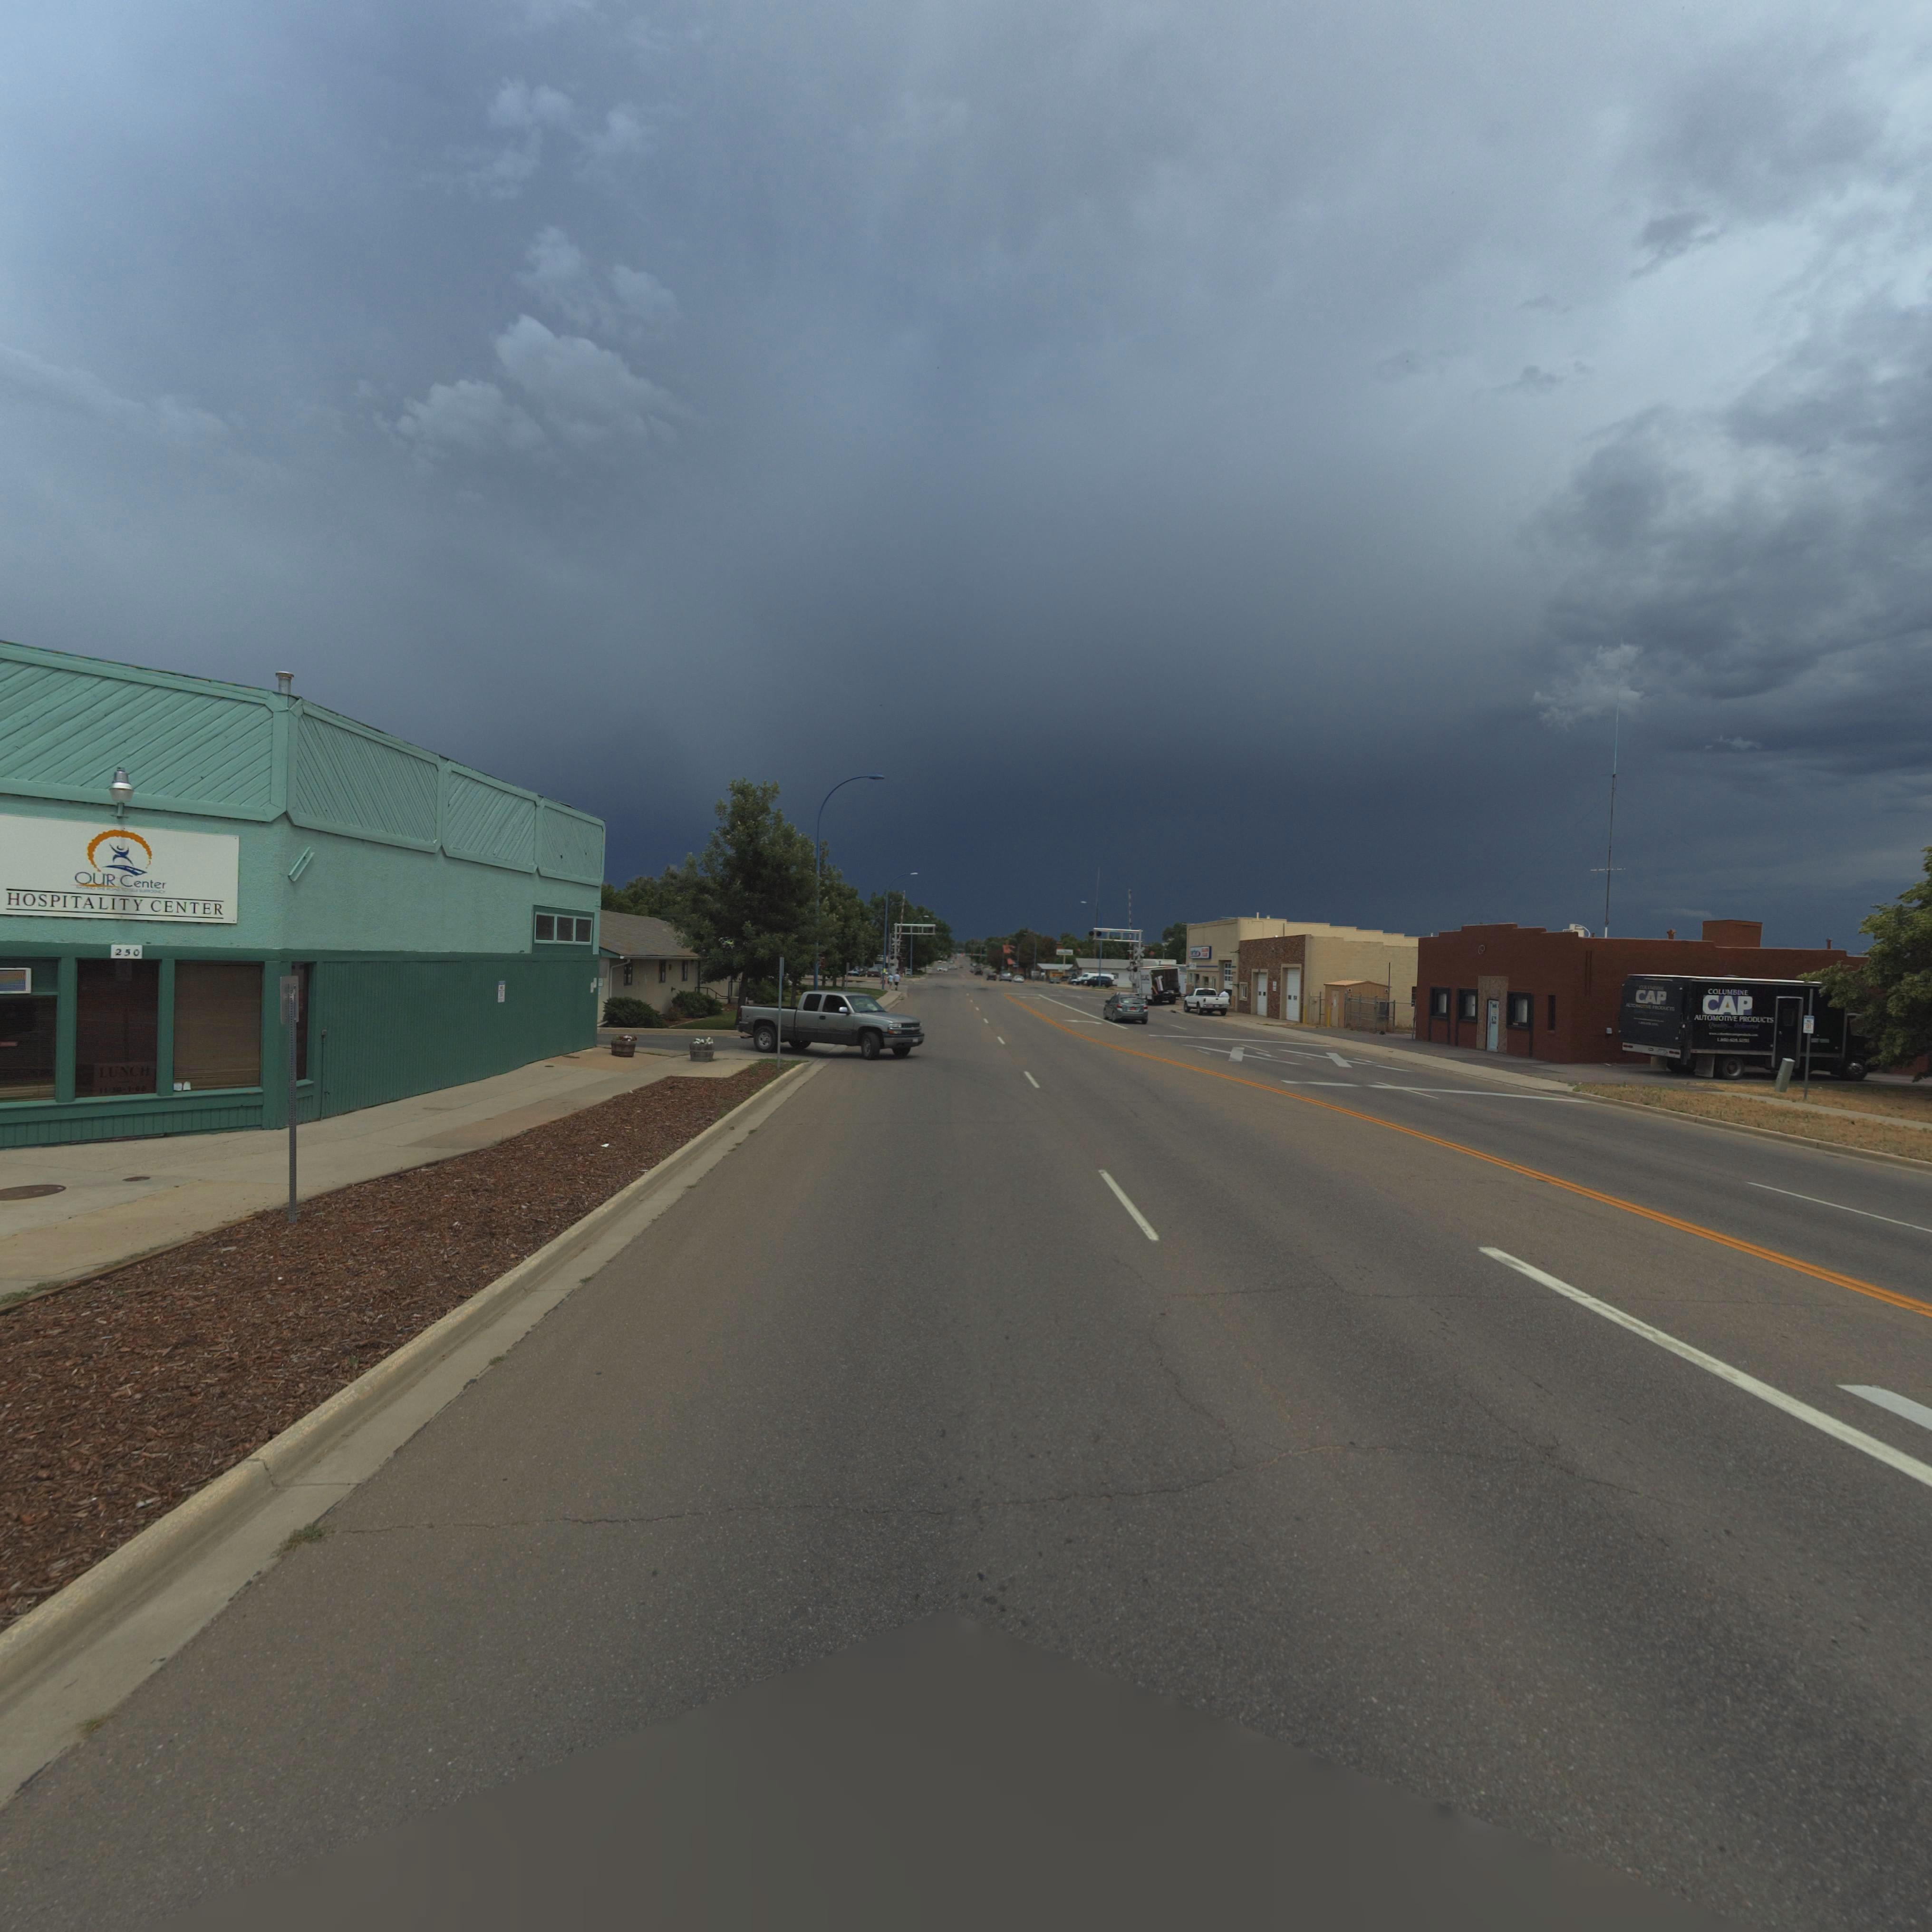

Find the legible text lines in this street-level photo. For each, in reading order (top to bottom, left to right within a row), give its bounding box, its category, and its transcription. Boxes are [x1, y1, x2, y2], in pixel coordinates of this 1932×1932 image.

[73, 871, 167, 889] BusinessName: OUR Center
[114, 948, 140, 956] StreetNumber: 250